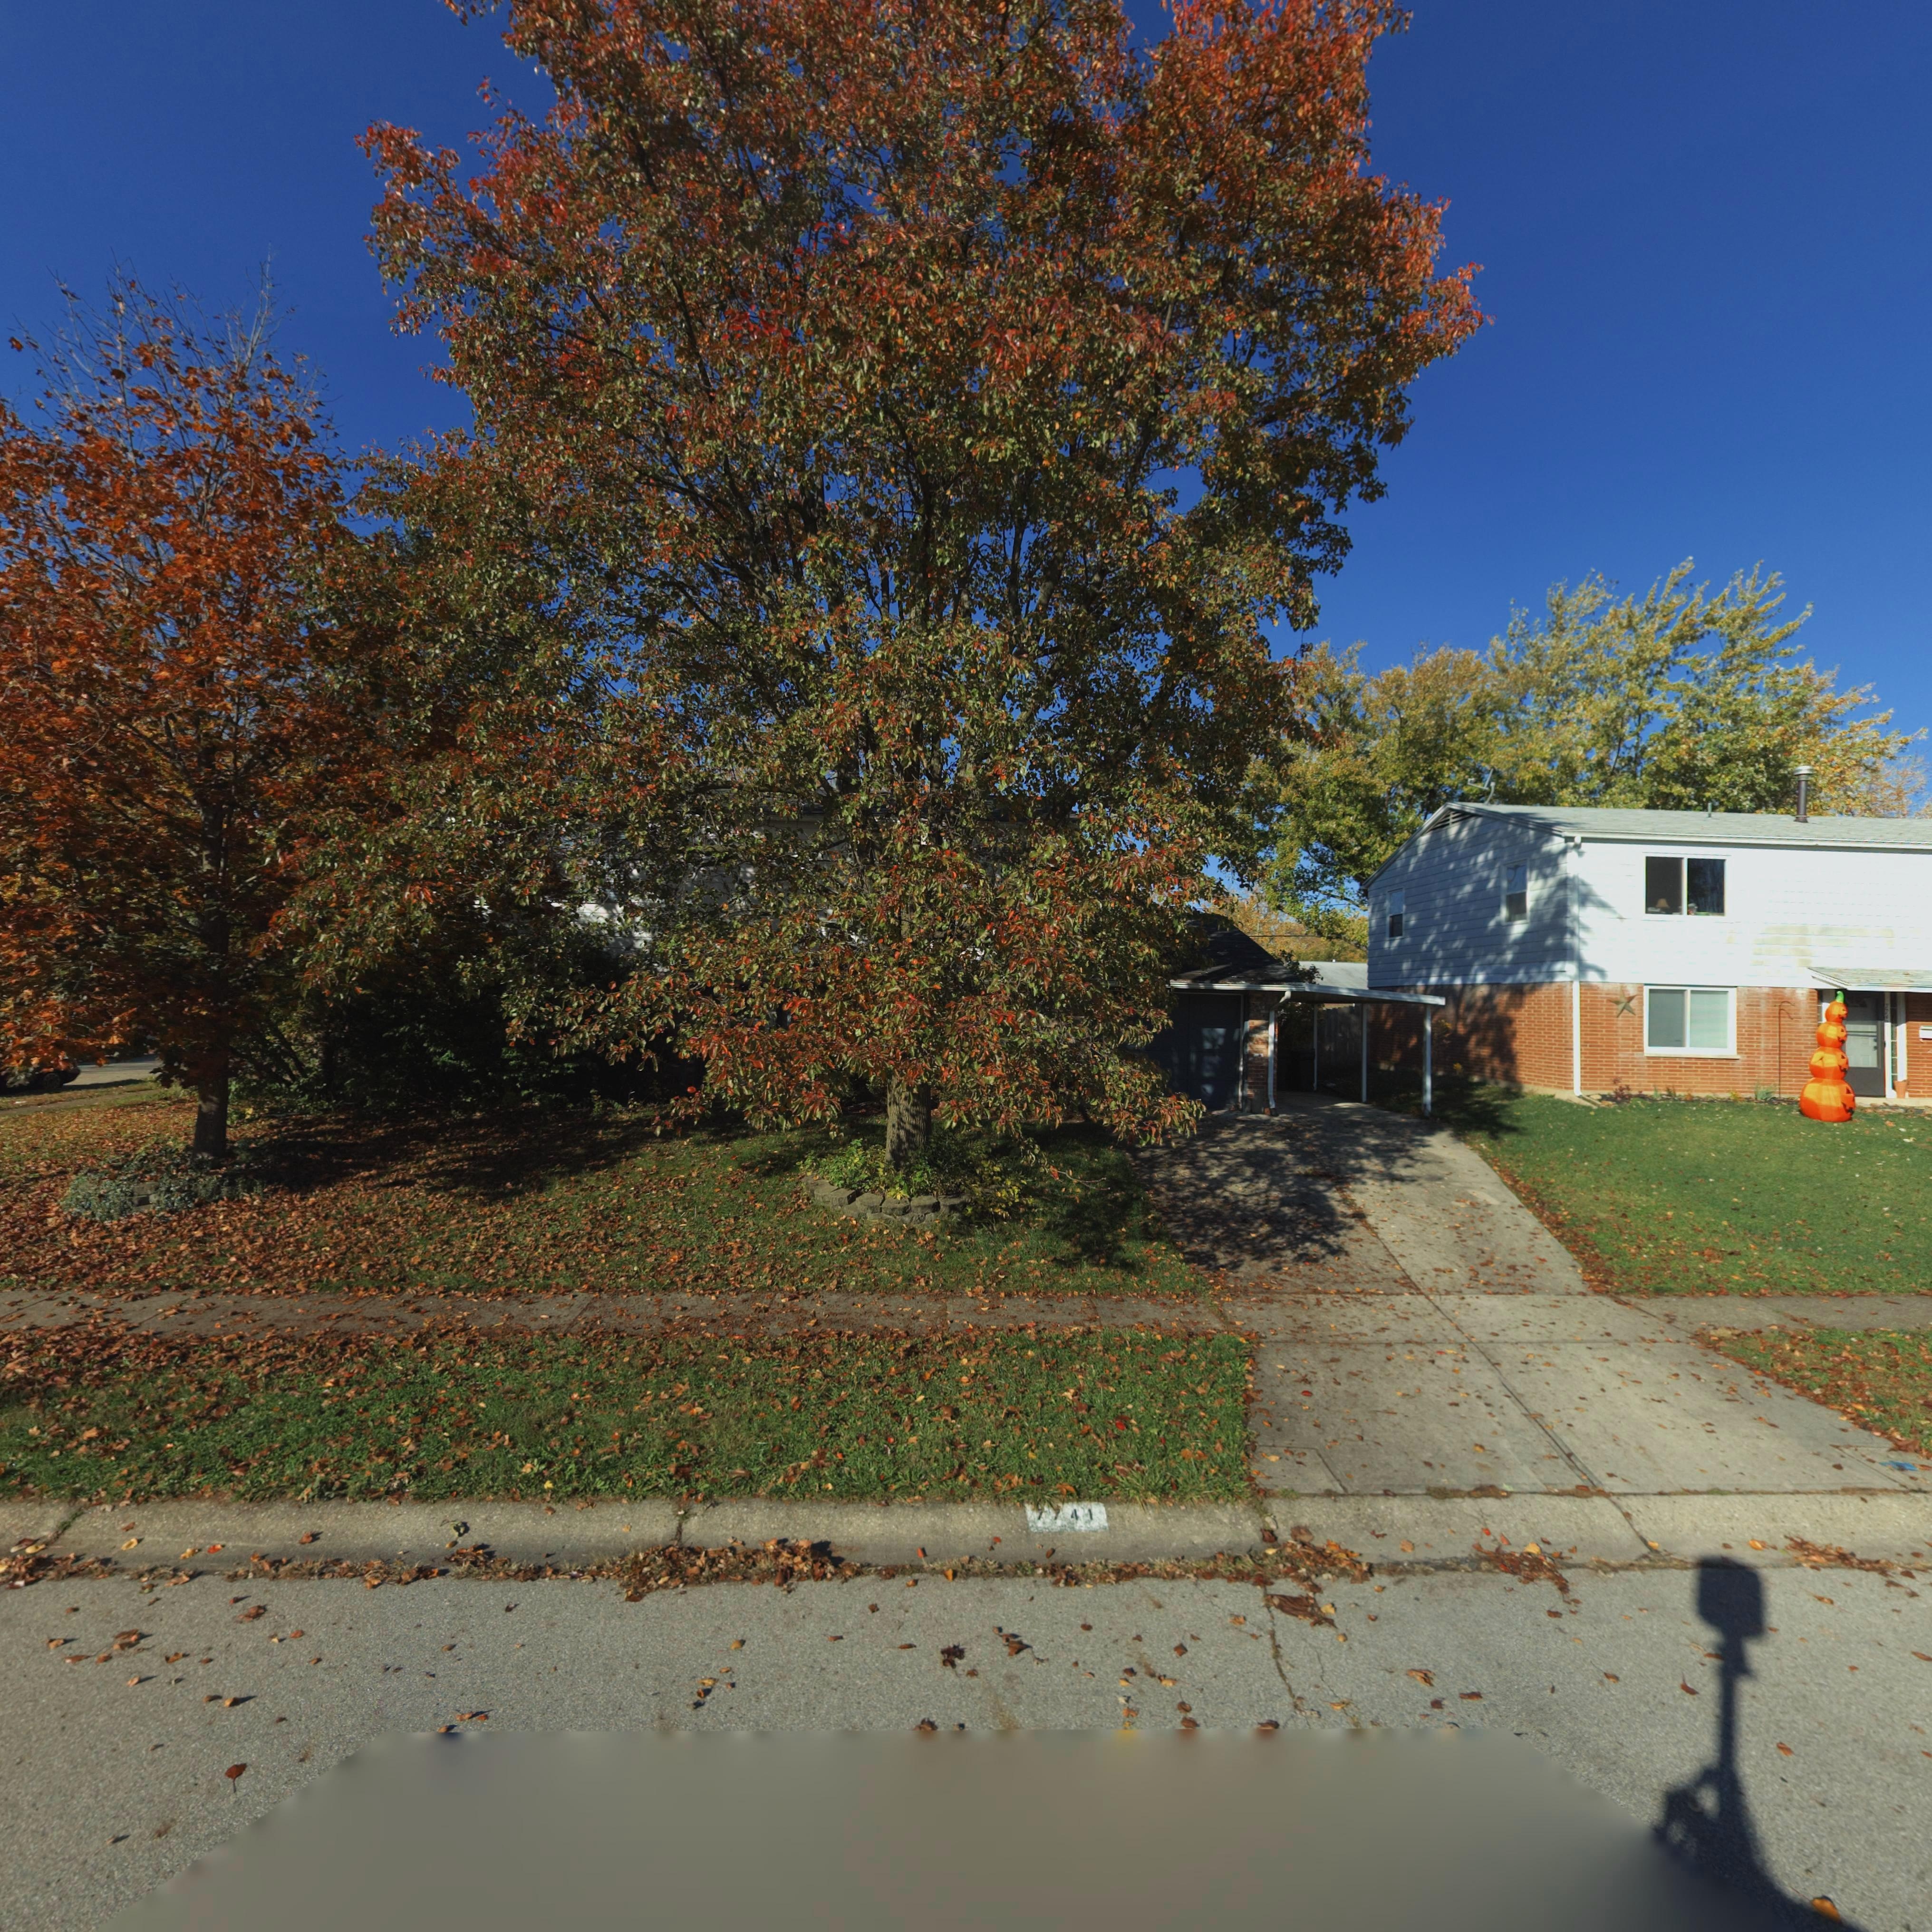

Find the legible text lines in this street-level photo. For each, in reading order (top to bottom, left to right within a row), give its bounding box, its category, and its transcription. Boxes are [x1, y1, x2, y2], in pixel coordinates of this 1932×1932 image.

[1034, 1507, 1095, 1523] StreetNumber: 7741